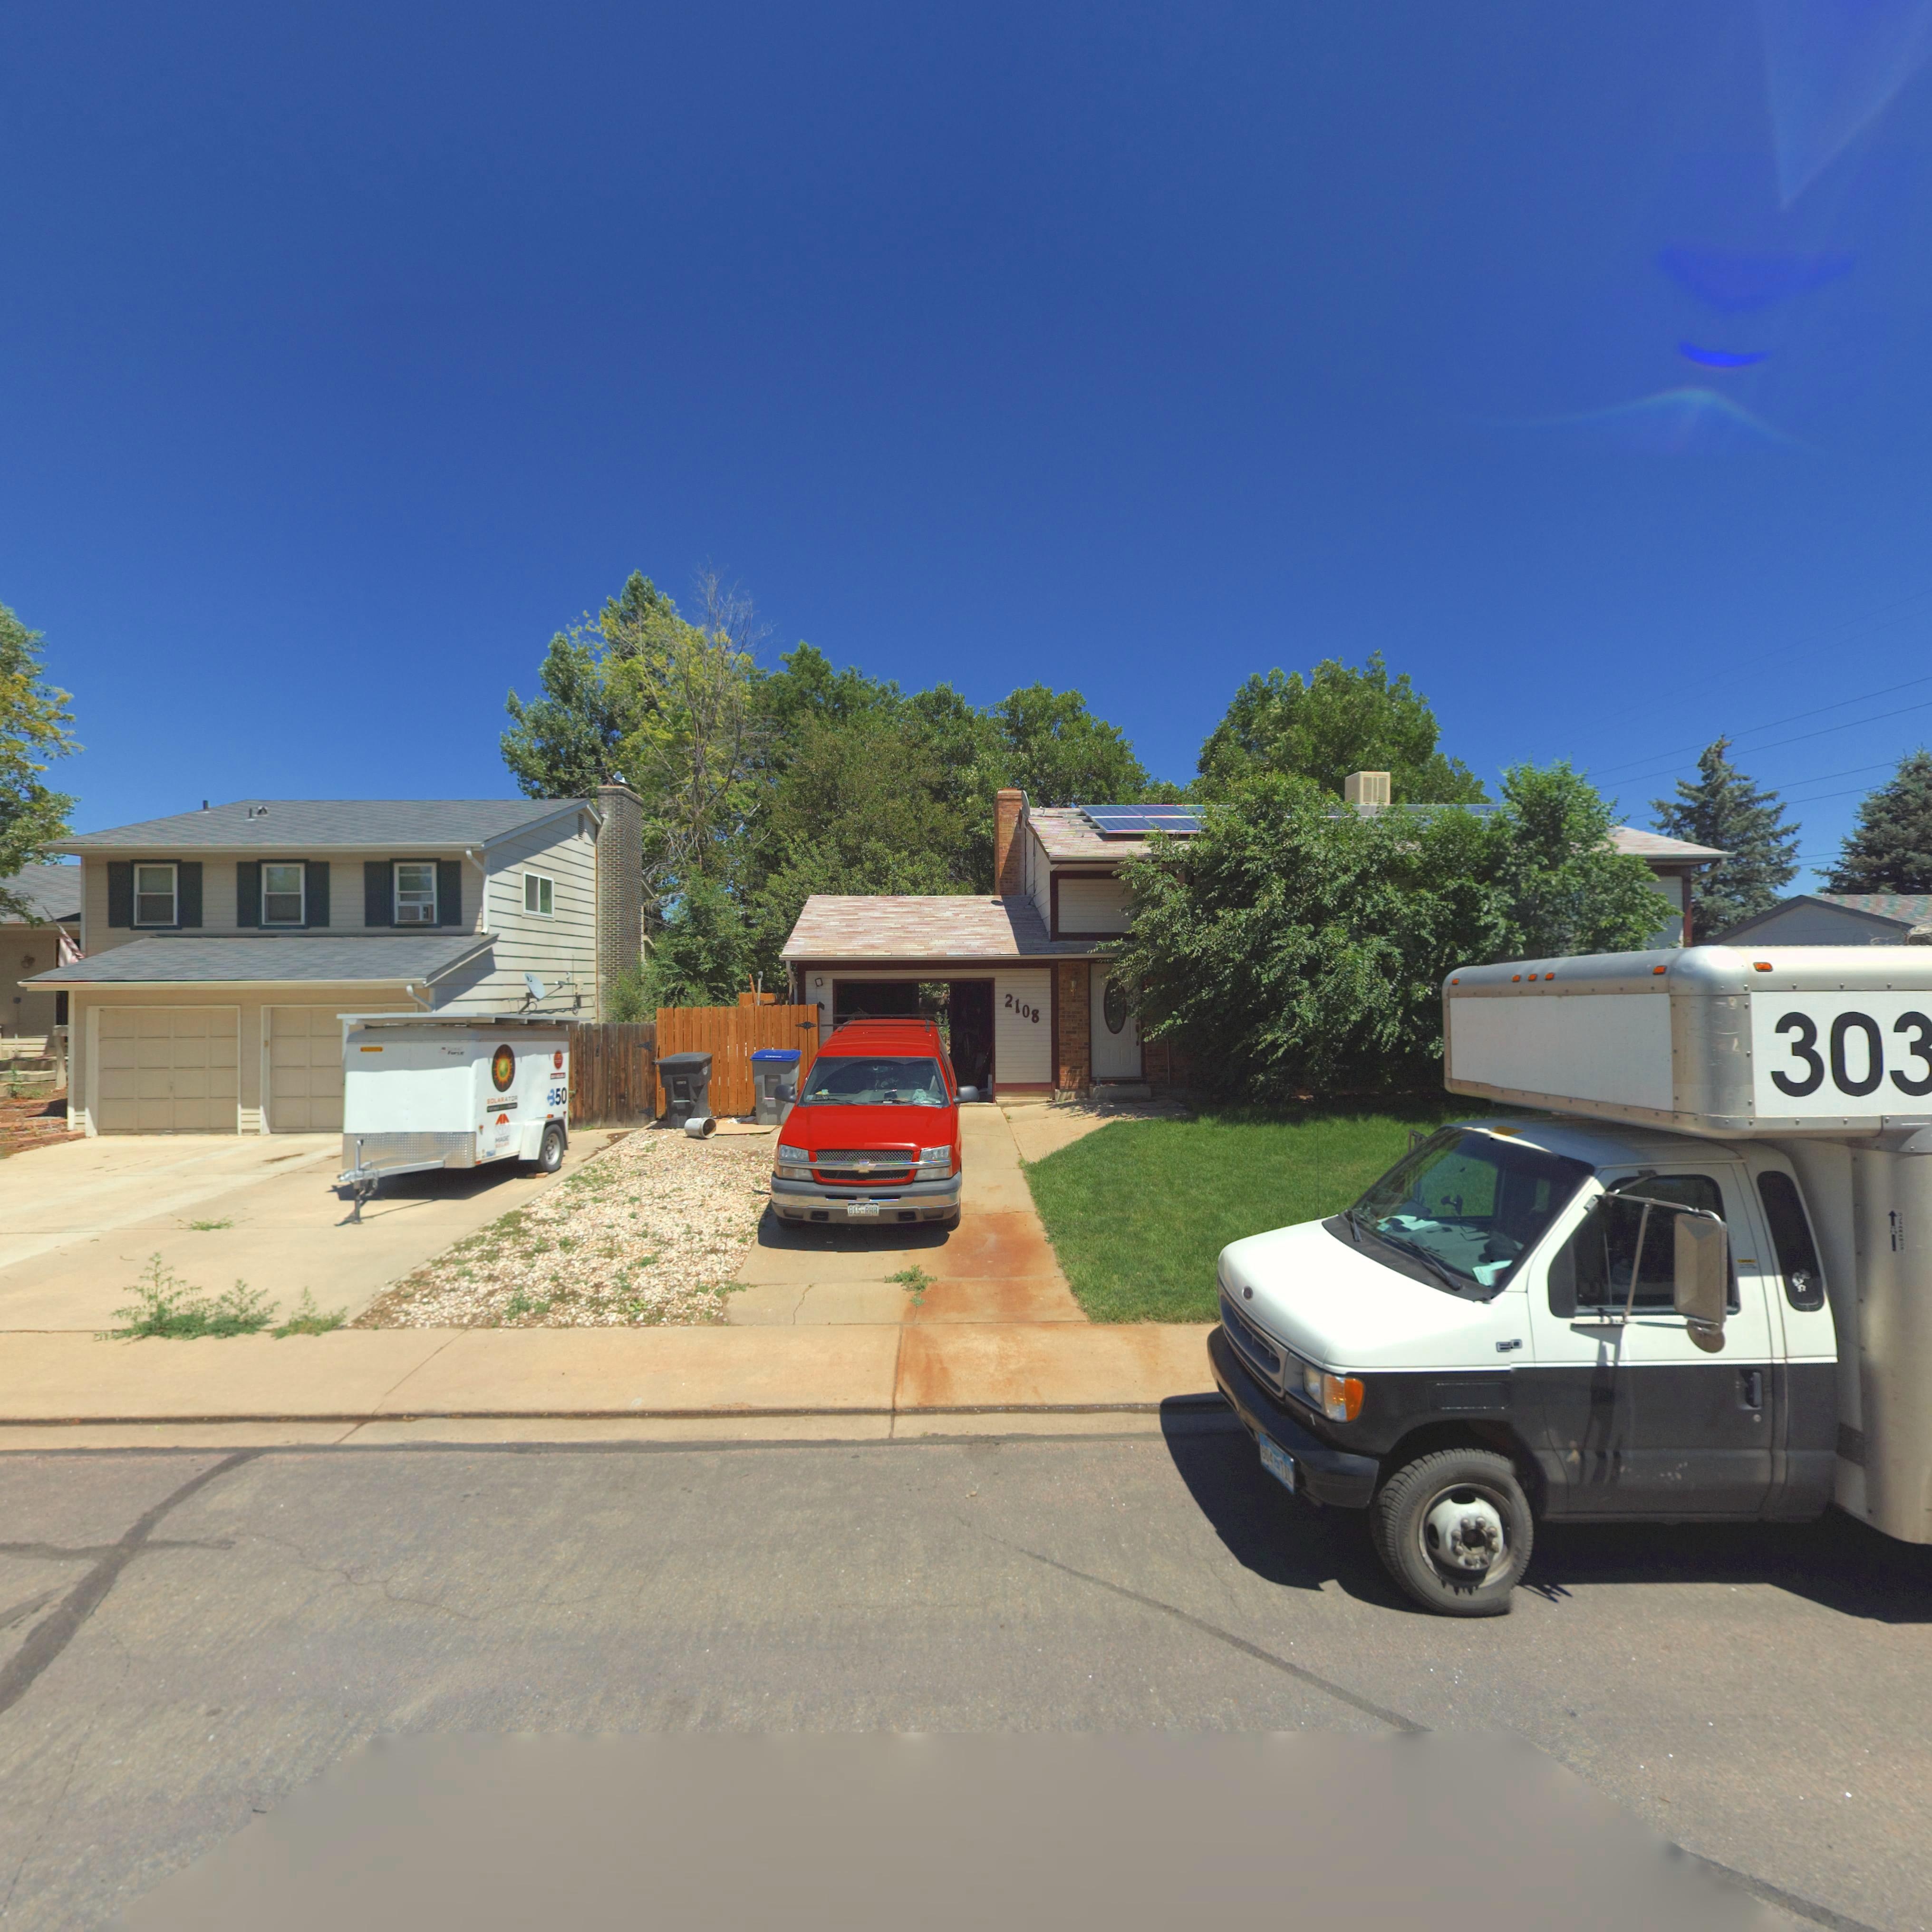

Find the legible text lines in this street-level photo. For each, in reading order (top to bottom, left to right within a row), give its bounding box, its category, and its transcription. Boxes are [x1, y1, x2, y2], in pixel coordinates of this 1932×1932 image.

[1004, 993, 1041, 1025] StreetNumber: 2108